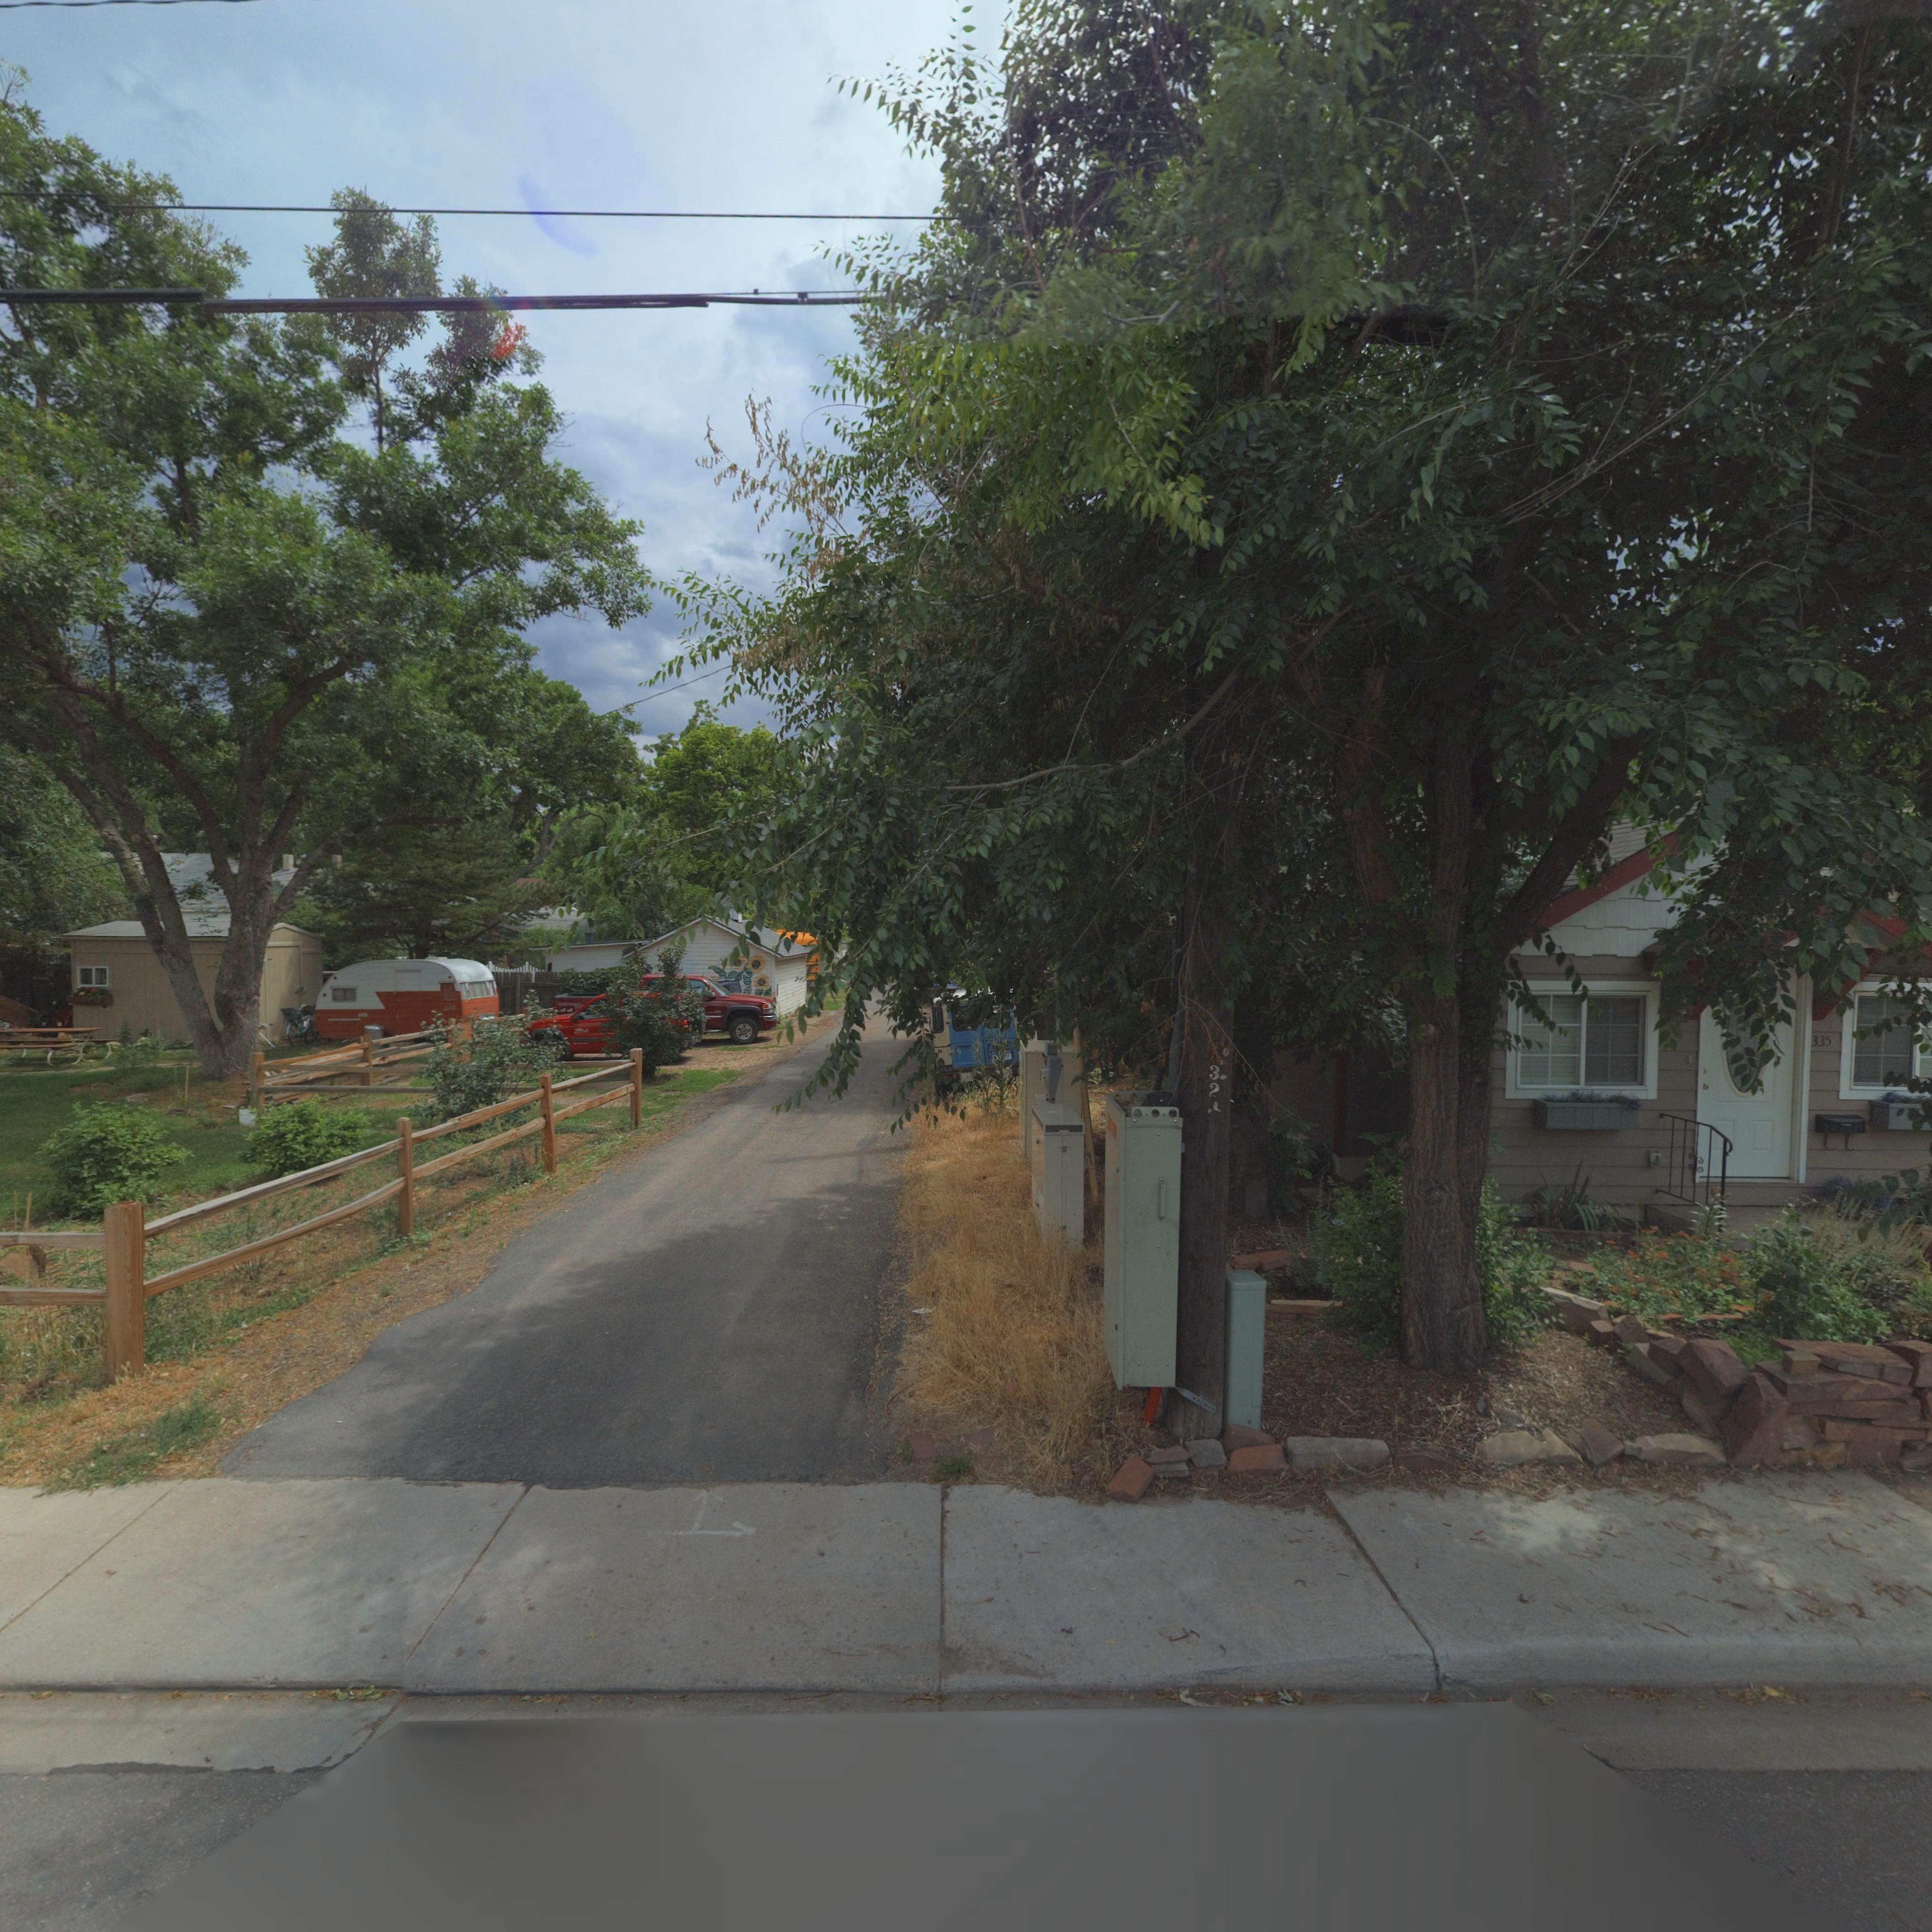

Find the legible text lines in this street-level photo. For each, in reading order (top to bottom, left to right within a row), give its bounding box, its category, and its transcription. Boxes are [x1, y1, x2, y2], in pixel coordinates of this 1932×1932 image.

[1811, 1034, 1832, 1047] StreetNumber: 335